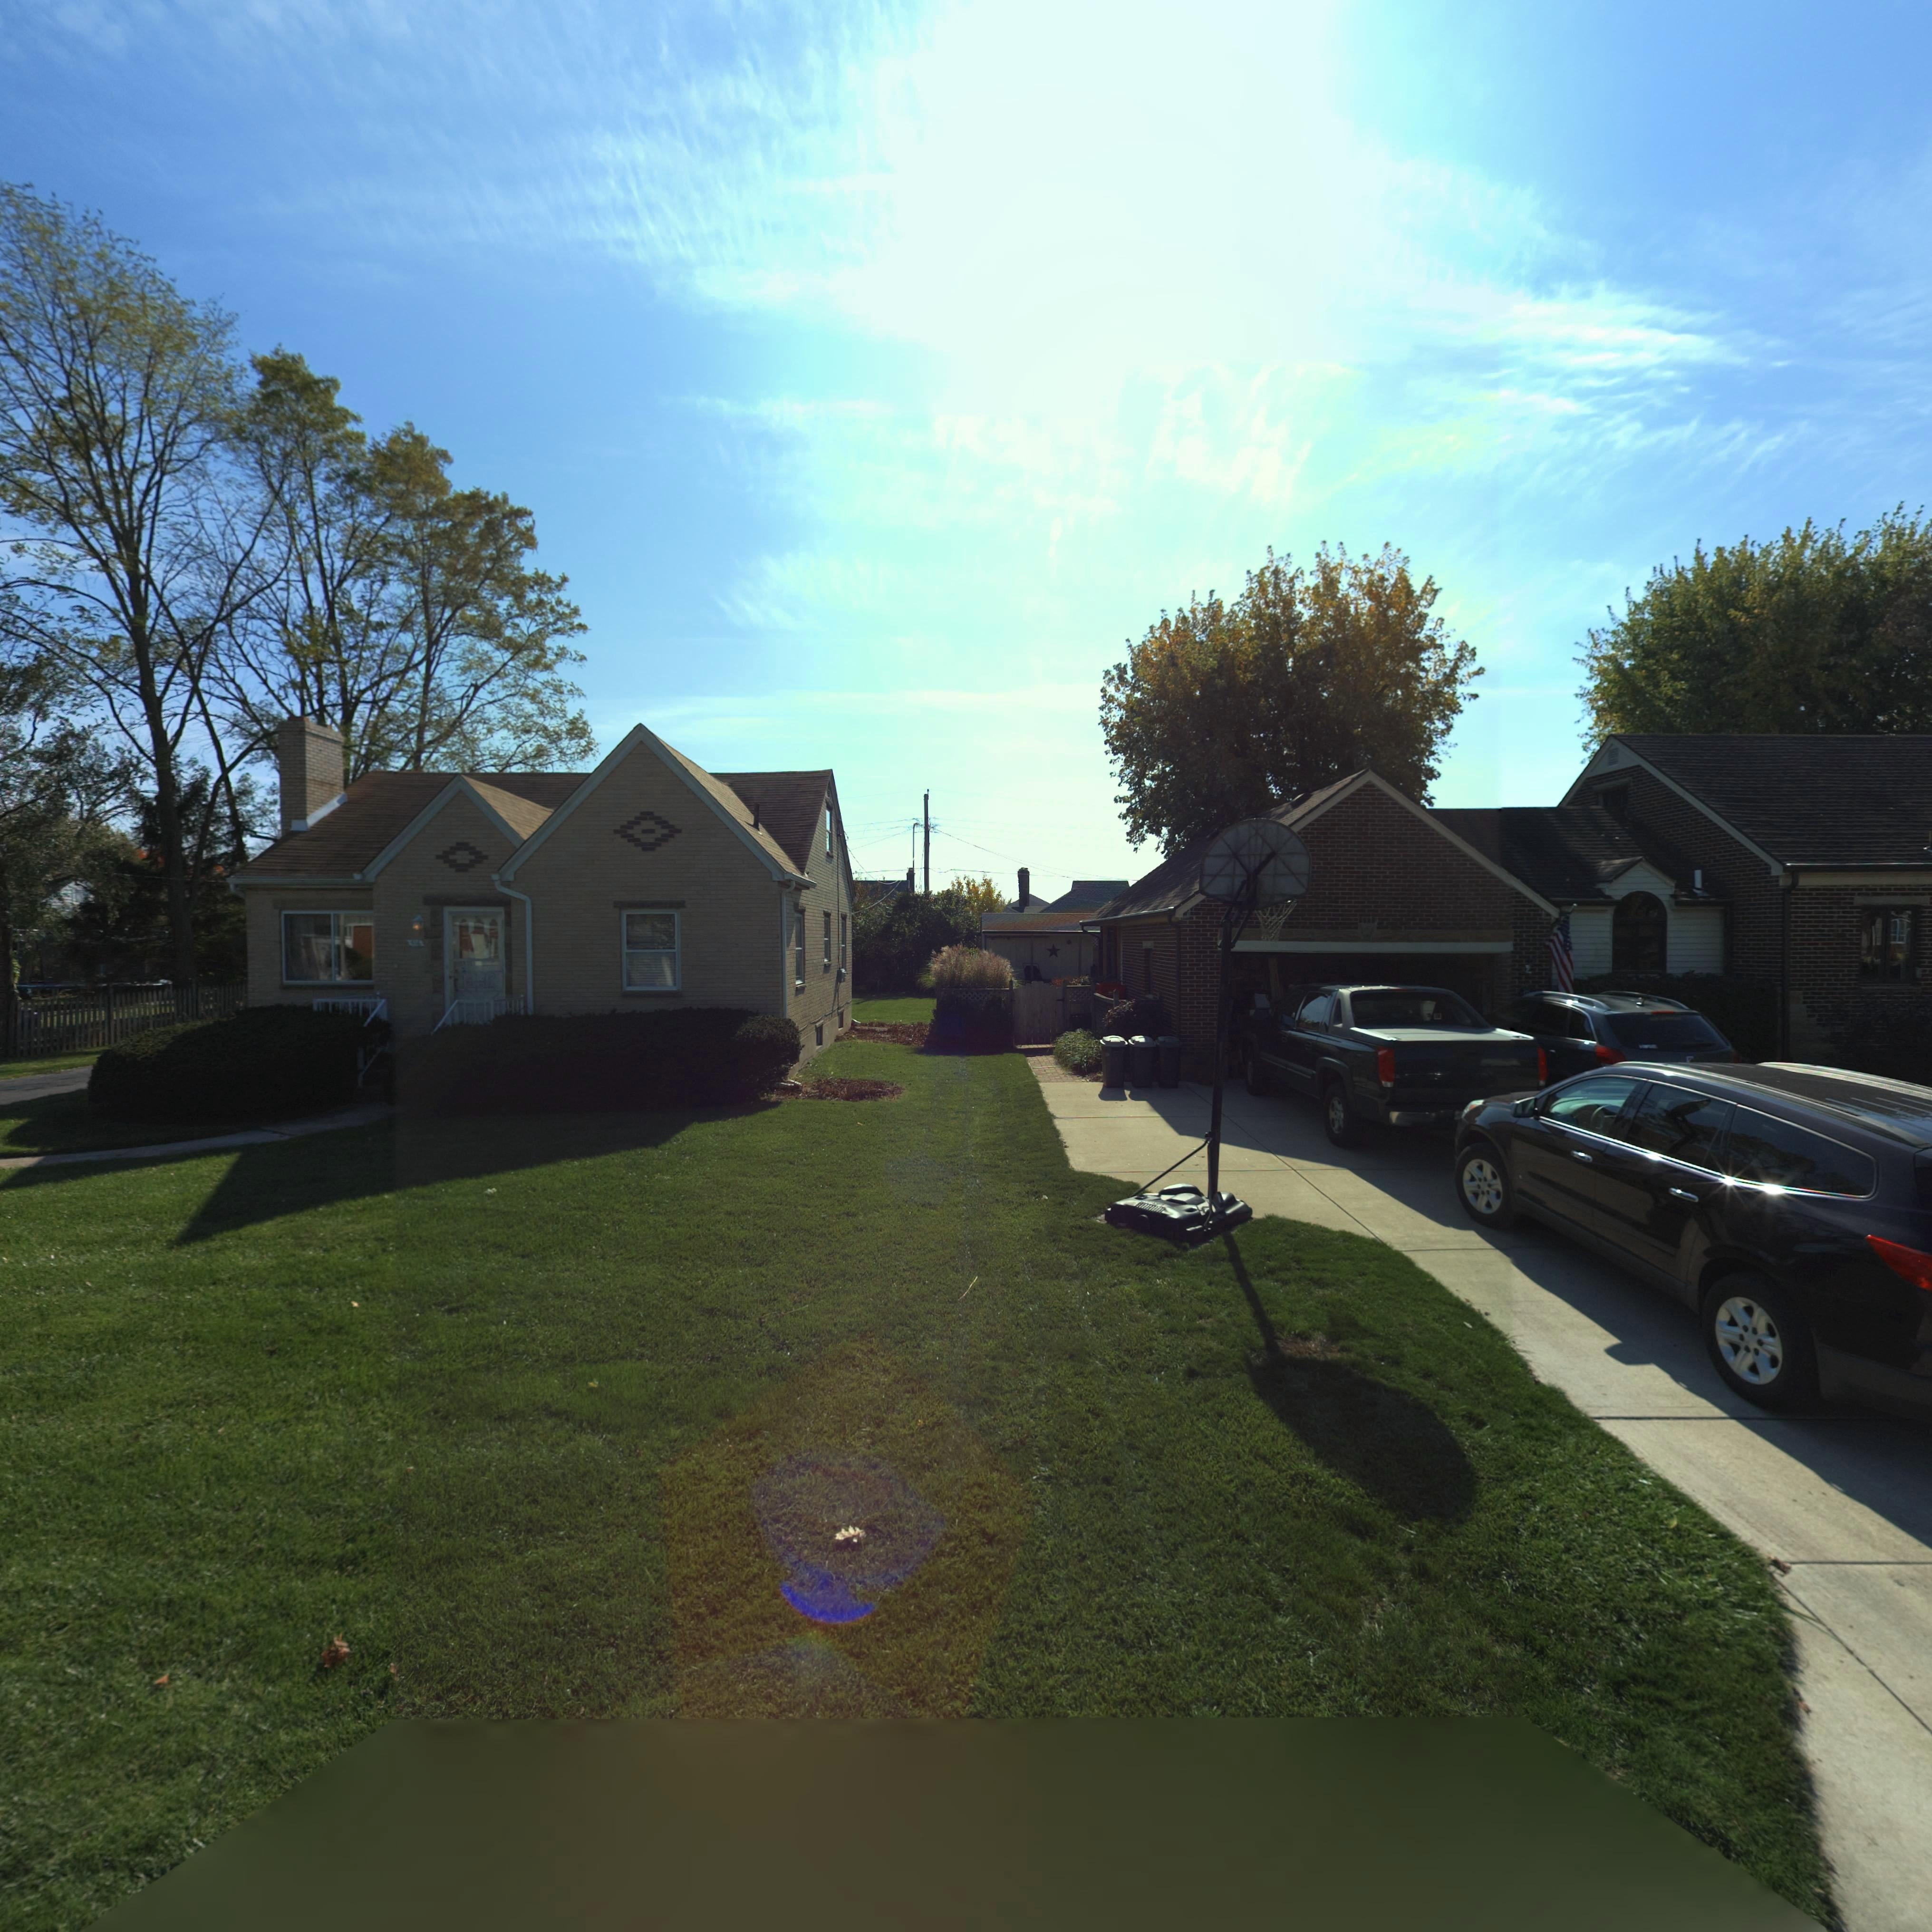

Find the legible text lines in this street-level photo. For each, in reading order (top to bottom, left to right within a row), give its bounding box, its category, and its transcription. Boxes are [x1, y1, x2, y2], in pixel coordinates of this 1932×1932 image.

[410, 939, 422, 947] StreetNumber: 5*6